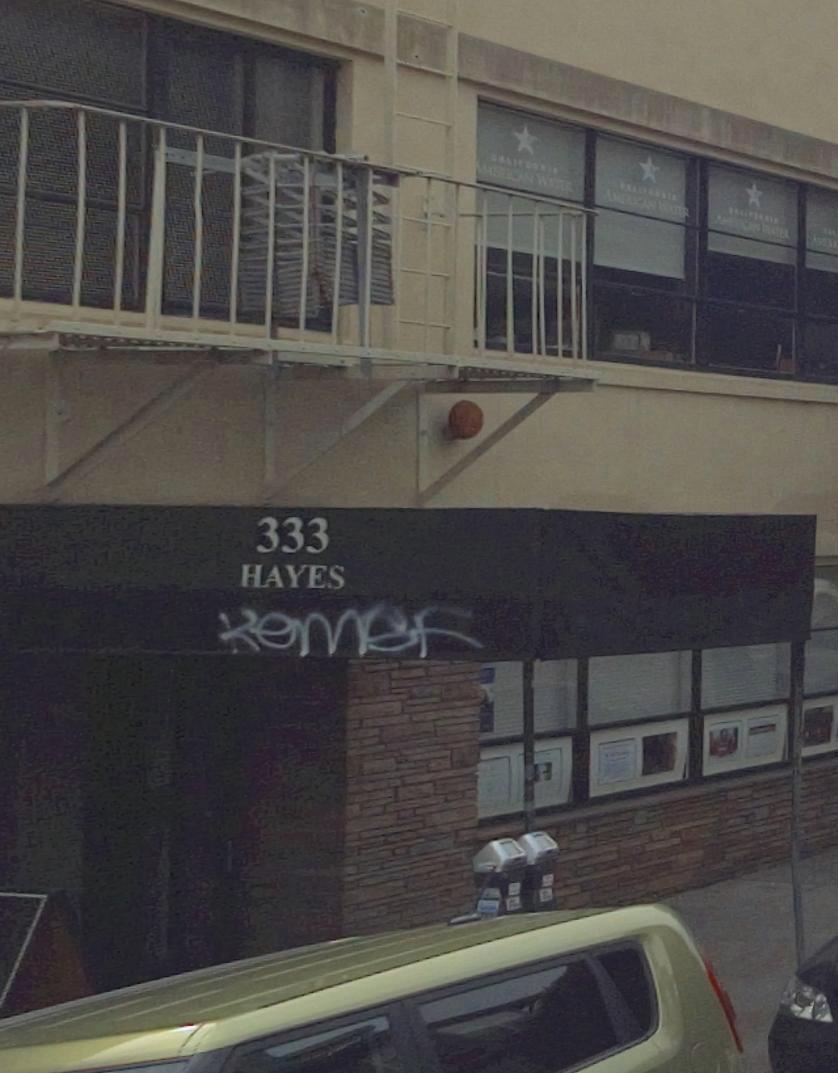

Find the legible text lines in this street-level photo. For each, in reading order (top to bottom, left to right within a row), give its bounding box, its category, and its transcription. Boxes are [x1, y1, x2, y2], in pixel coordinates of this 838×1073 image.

[255, 515, 333, 555] StreetNumber: 333
[240, 562, 348, 591] StreetName: HAYES
[214, 598, 471, 660] None: Kem*f